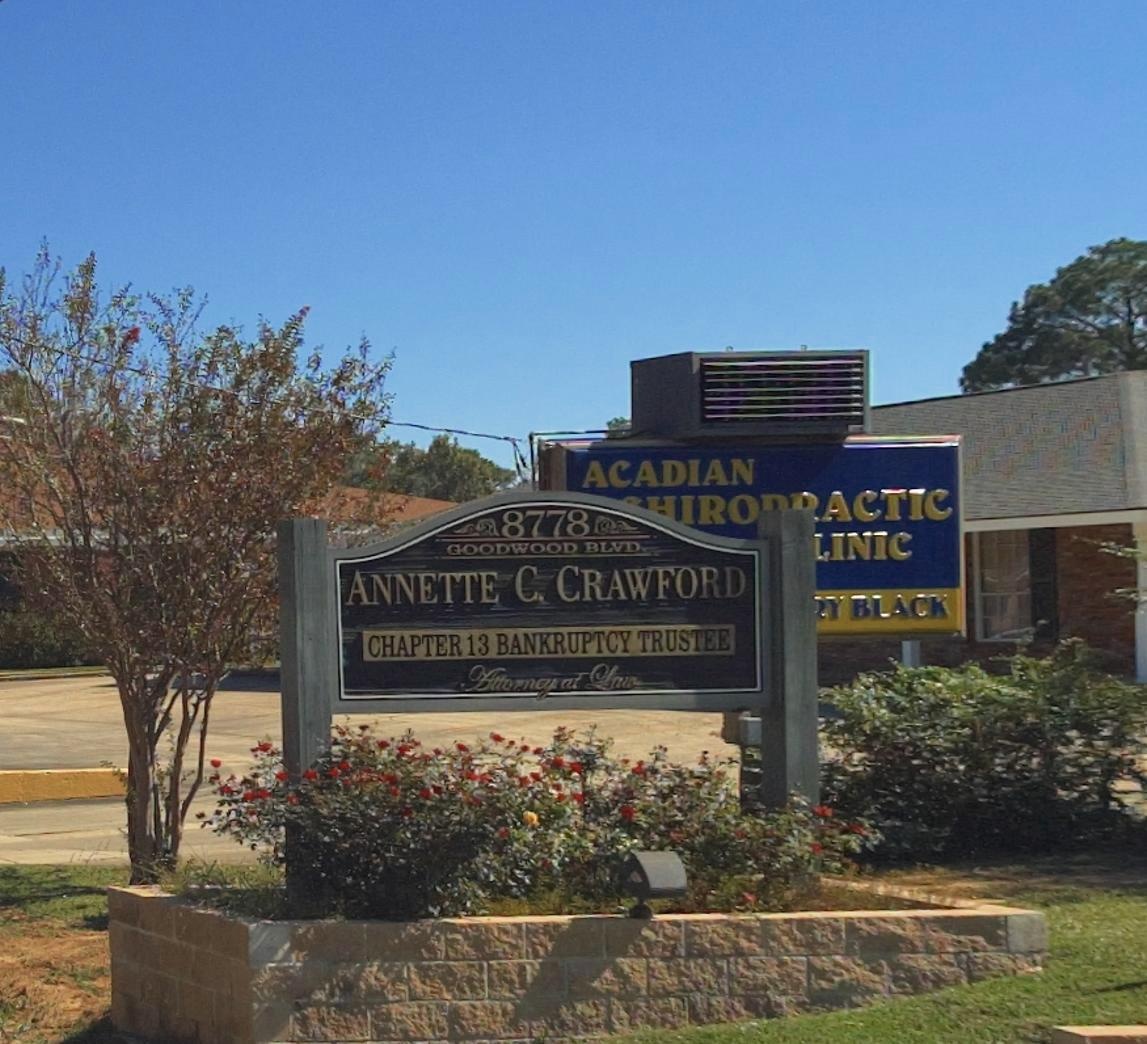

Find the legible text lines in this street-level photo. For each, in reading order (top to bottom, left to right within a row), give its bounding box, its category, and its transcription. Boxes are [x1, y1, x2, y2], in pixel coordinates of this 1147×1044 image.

[576, 454, 760, 491] BusinessName: ACADIAN
[676, 484, 956, 527] BusinessName: IRO**ACTIC
[500, 507, 594, 541] StreetNumber: 8778
[443, 539, 643, 558] StreetName: GOODWOOD BLVD
[827, 528, 919, 564] BusinessName: INIC
[340, 561, 750, 609] None: ANNETTE C. CRAWFORD
[821, 592, 955, 624] None: Y BLACK
[365, 626, 733, 661] None: CHAPTER 13 BANKRUPTCY TRUSTEE
[470, 662, 643, 703] None: Attorney at Law